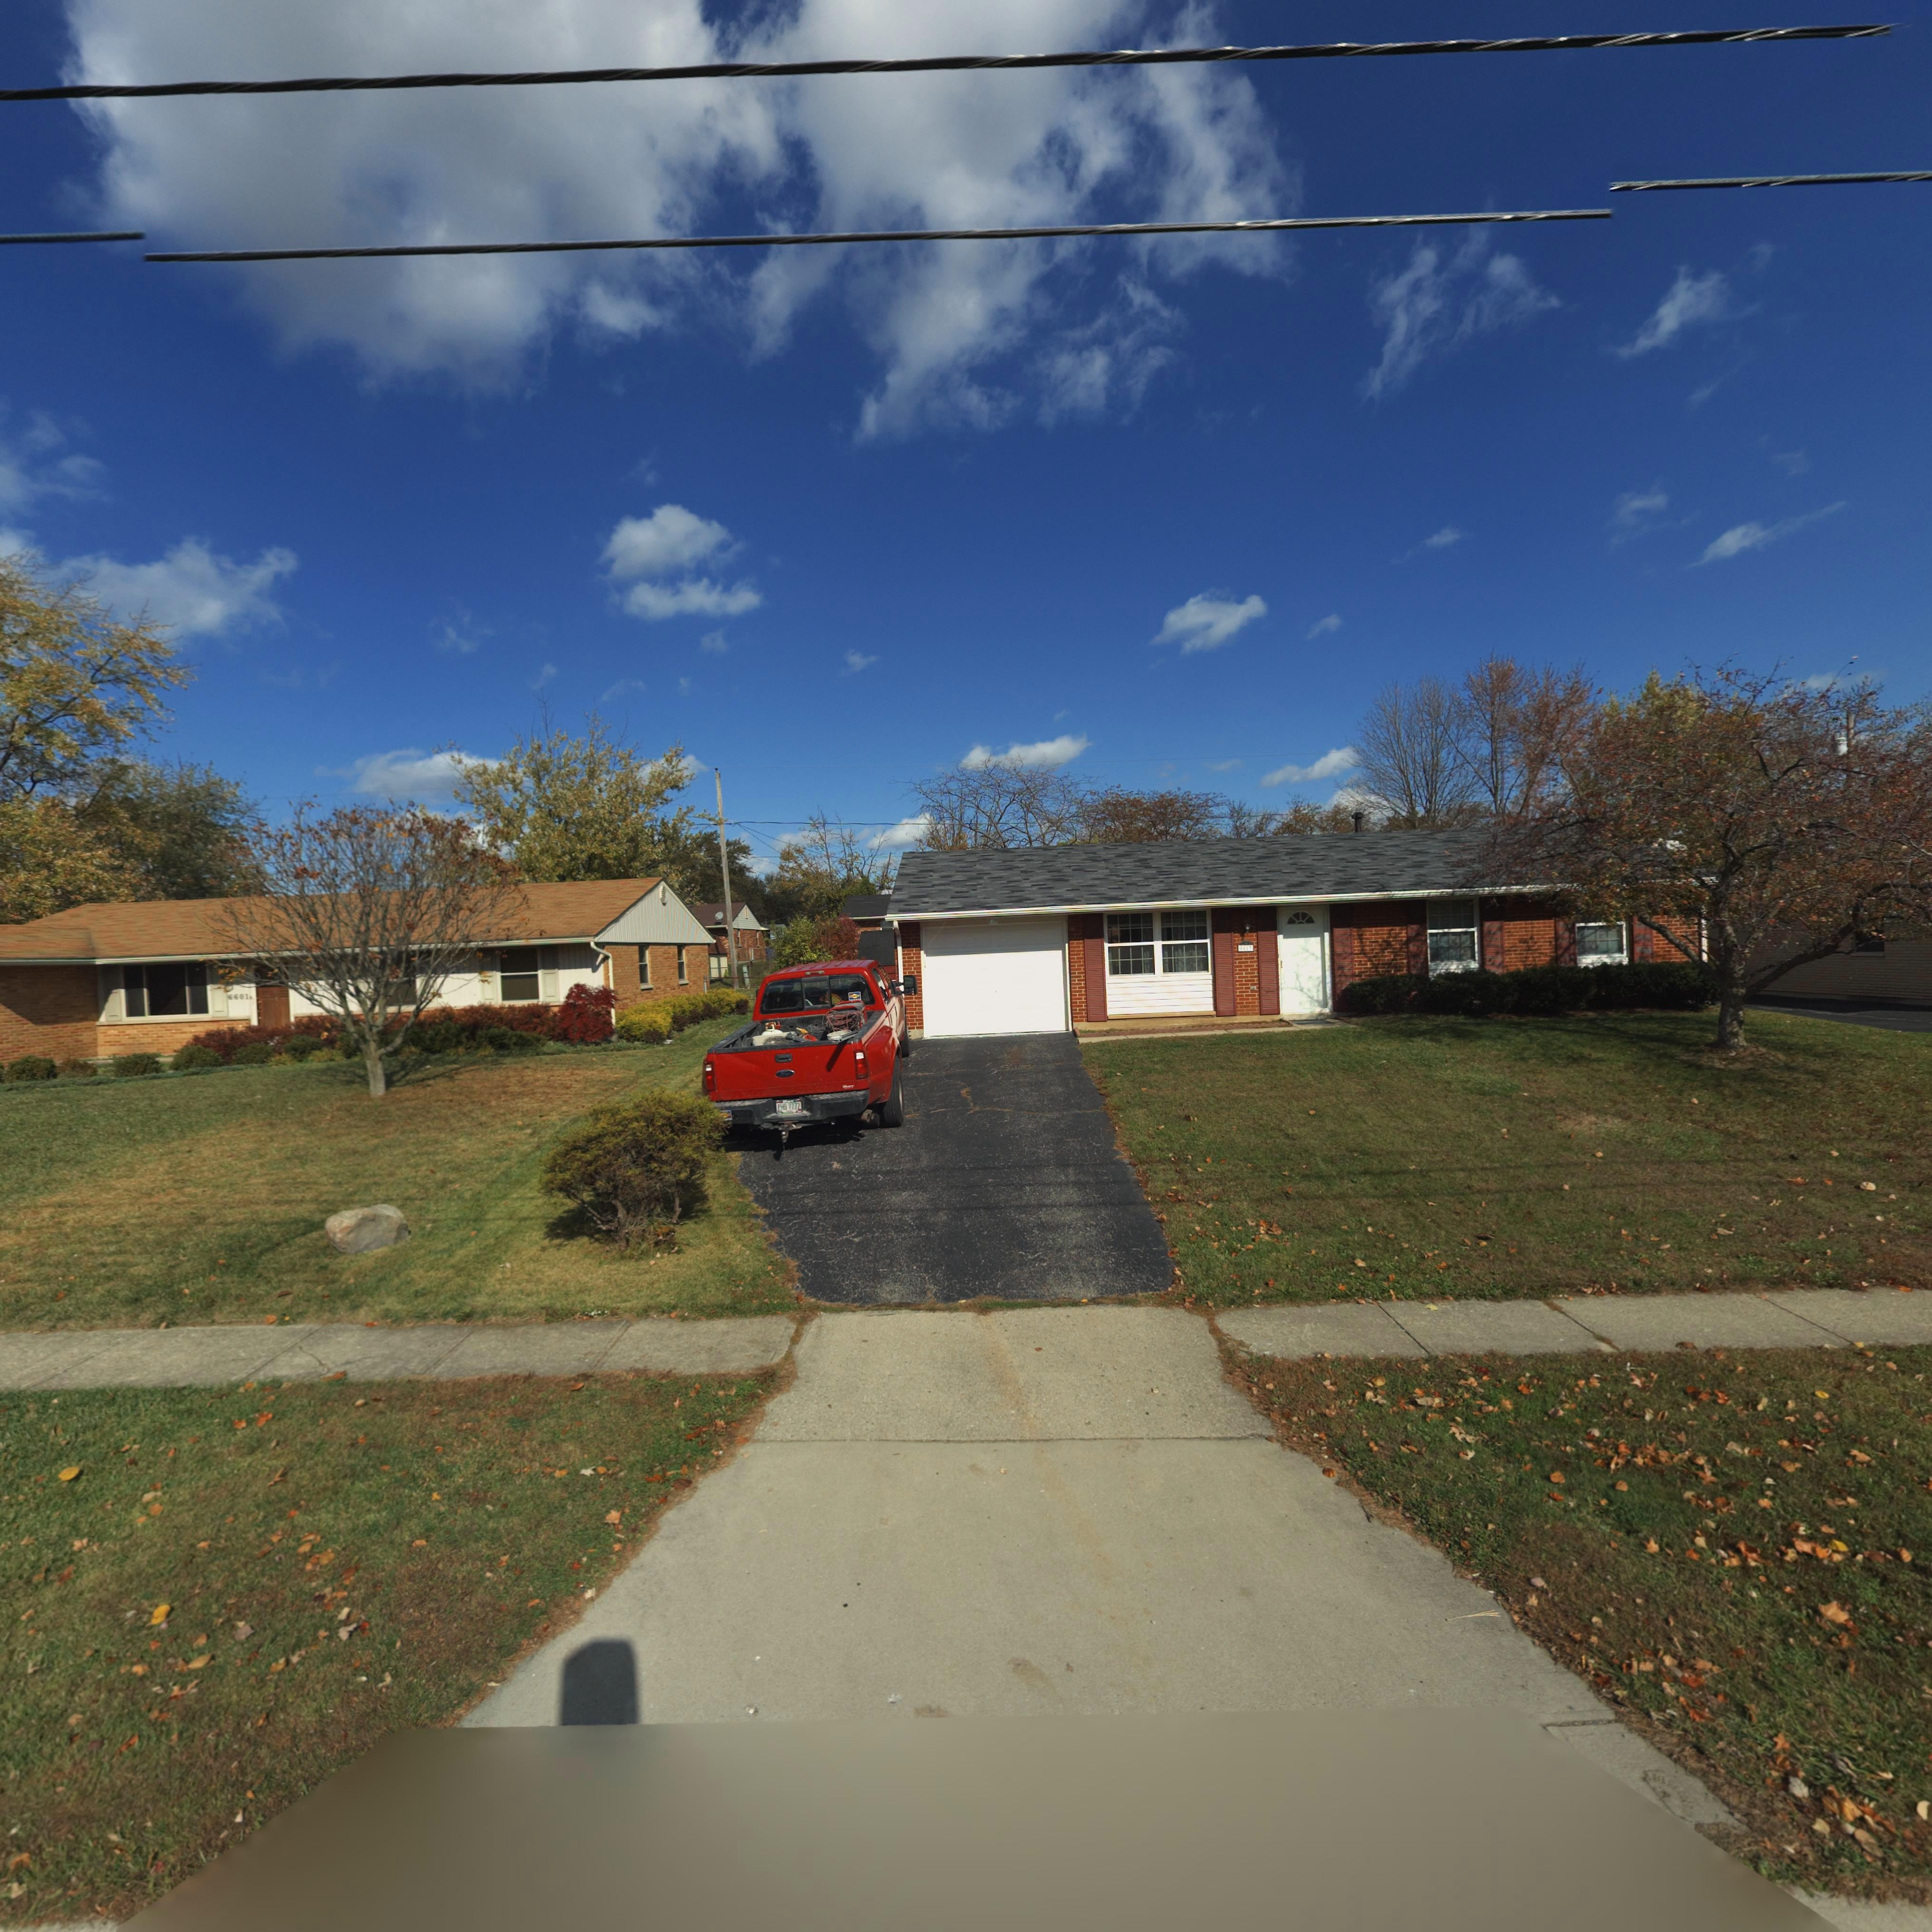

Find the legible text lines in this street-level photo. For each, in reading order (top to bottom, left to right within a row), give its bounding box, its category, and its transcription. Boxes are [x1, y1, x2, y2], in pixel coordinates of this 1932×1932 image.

[1240, 946, 1252, 951] StreetNumber: *61*
[226, 993, 249, 1001] StreetNumber: 6601